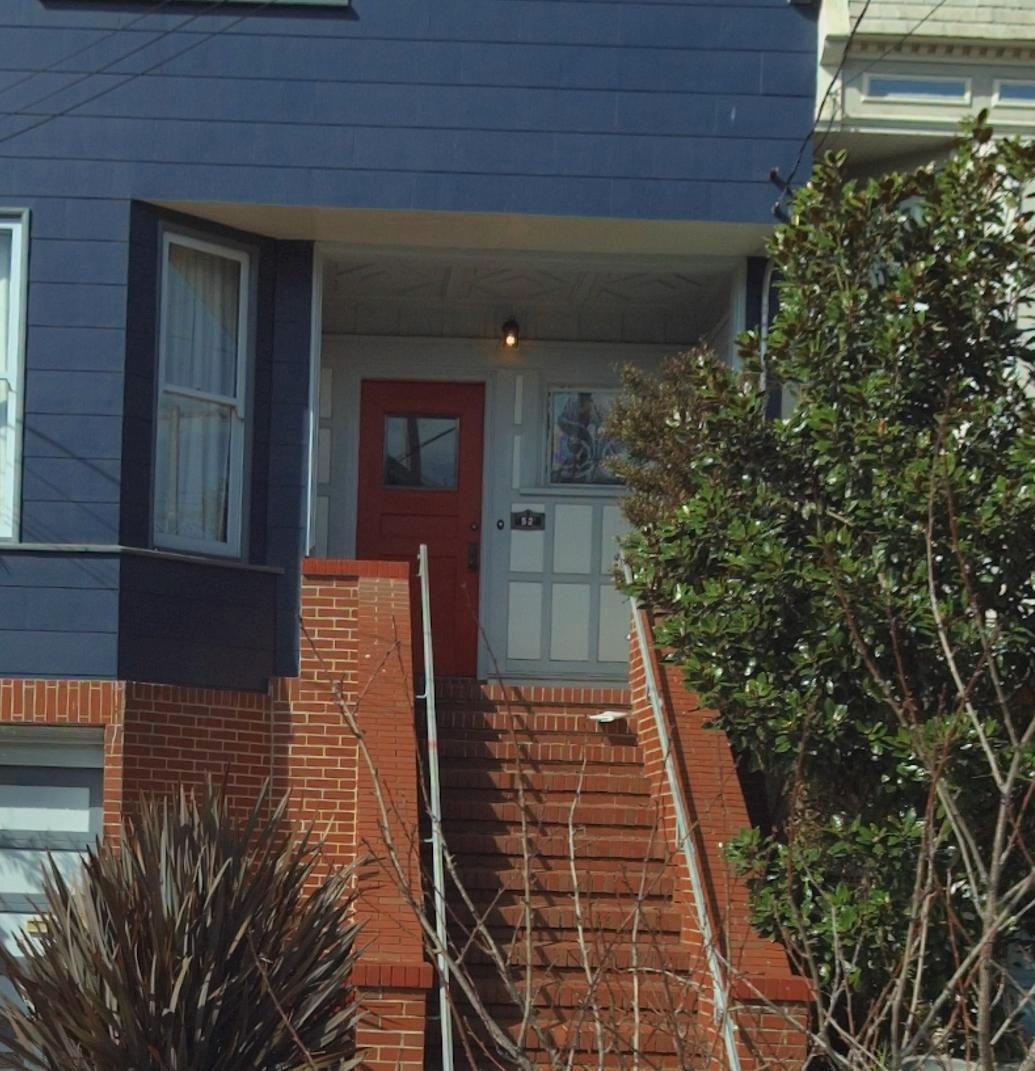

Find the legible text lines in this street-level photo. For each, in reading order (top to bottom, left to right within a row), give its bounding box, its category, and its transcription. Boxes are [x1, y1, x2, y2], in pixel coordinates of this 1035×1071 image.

[519, 516, 535, 526] StreetNumber: 52